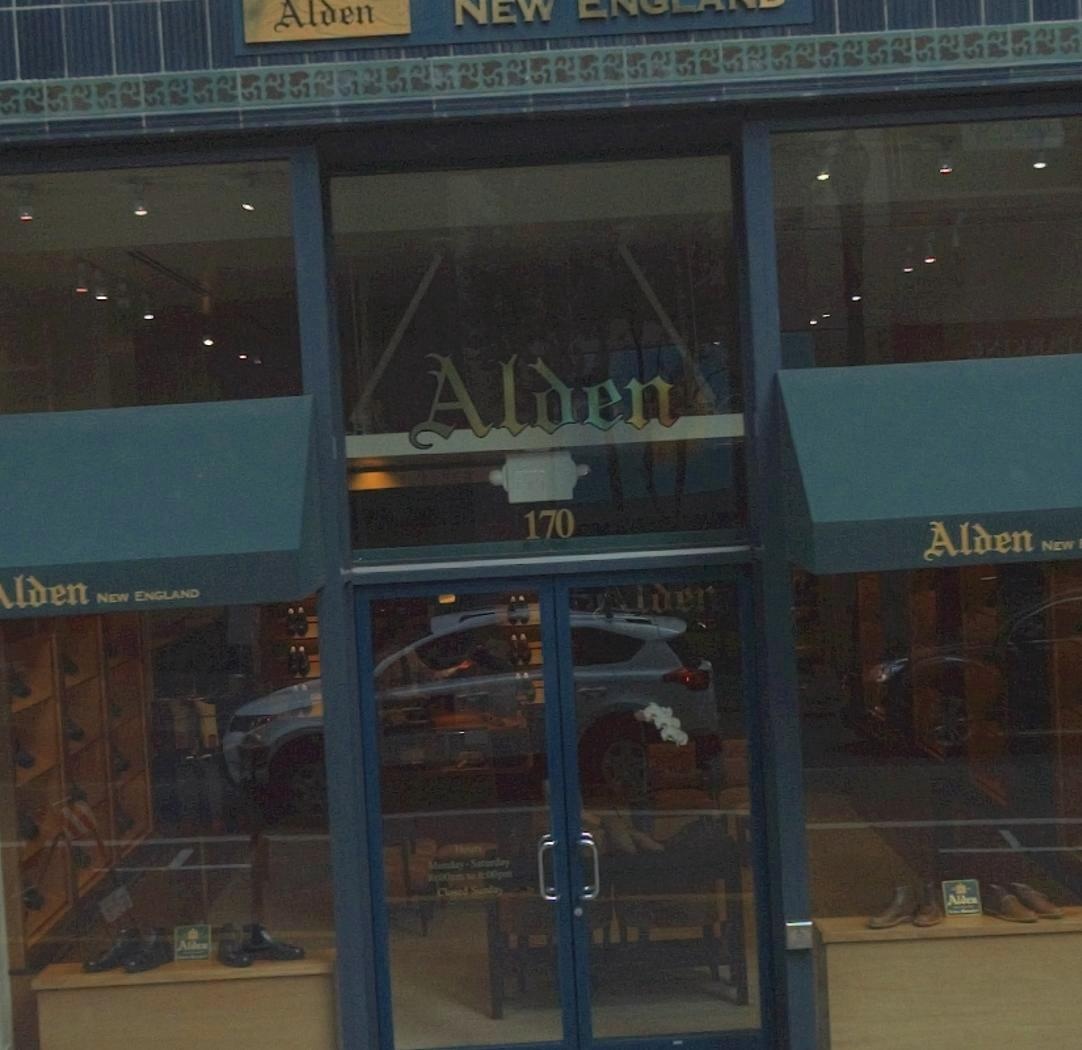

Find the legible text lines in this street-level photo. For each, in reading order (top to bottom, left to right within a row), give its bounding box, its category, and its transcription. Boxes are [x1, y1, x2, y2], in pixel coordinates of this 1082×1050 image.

[266, 0, 377, 36] None: Alden
[395, 347, 685, 457] BusinessName: Alden
[521, 505, 580, 543] StreetNumber: 170
[919, 516, 1081, 565] BusinessName: Alden NEW
[9, 569, 205, 614] BusinessName: lden NEW ENGLAND
[632, 582, 700, 619] None: lde
[437, 872, 452, 883] None: 00
[451, 843, 485, 857] None: Hours
[426, 857, 513, 872] None: M*nd*y*S*t*rd*y
[436, 883, 506, 899] None: C*osed Sunday
[485, 869, 515, 884] None: 00pm
[174, 937, 191, 956] None: A